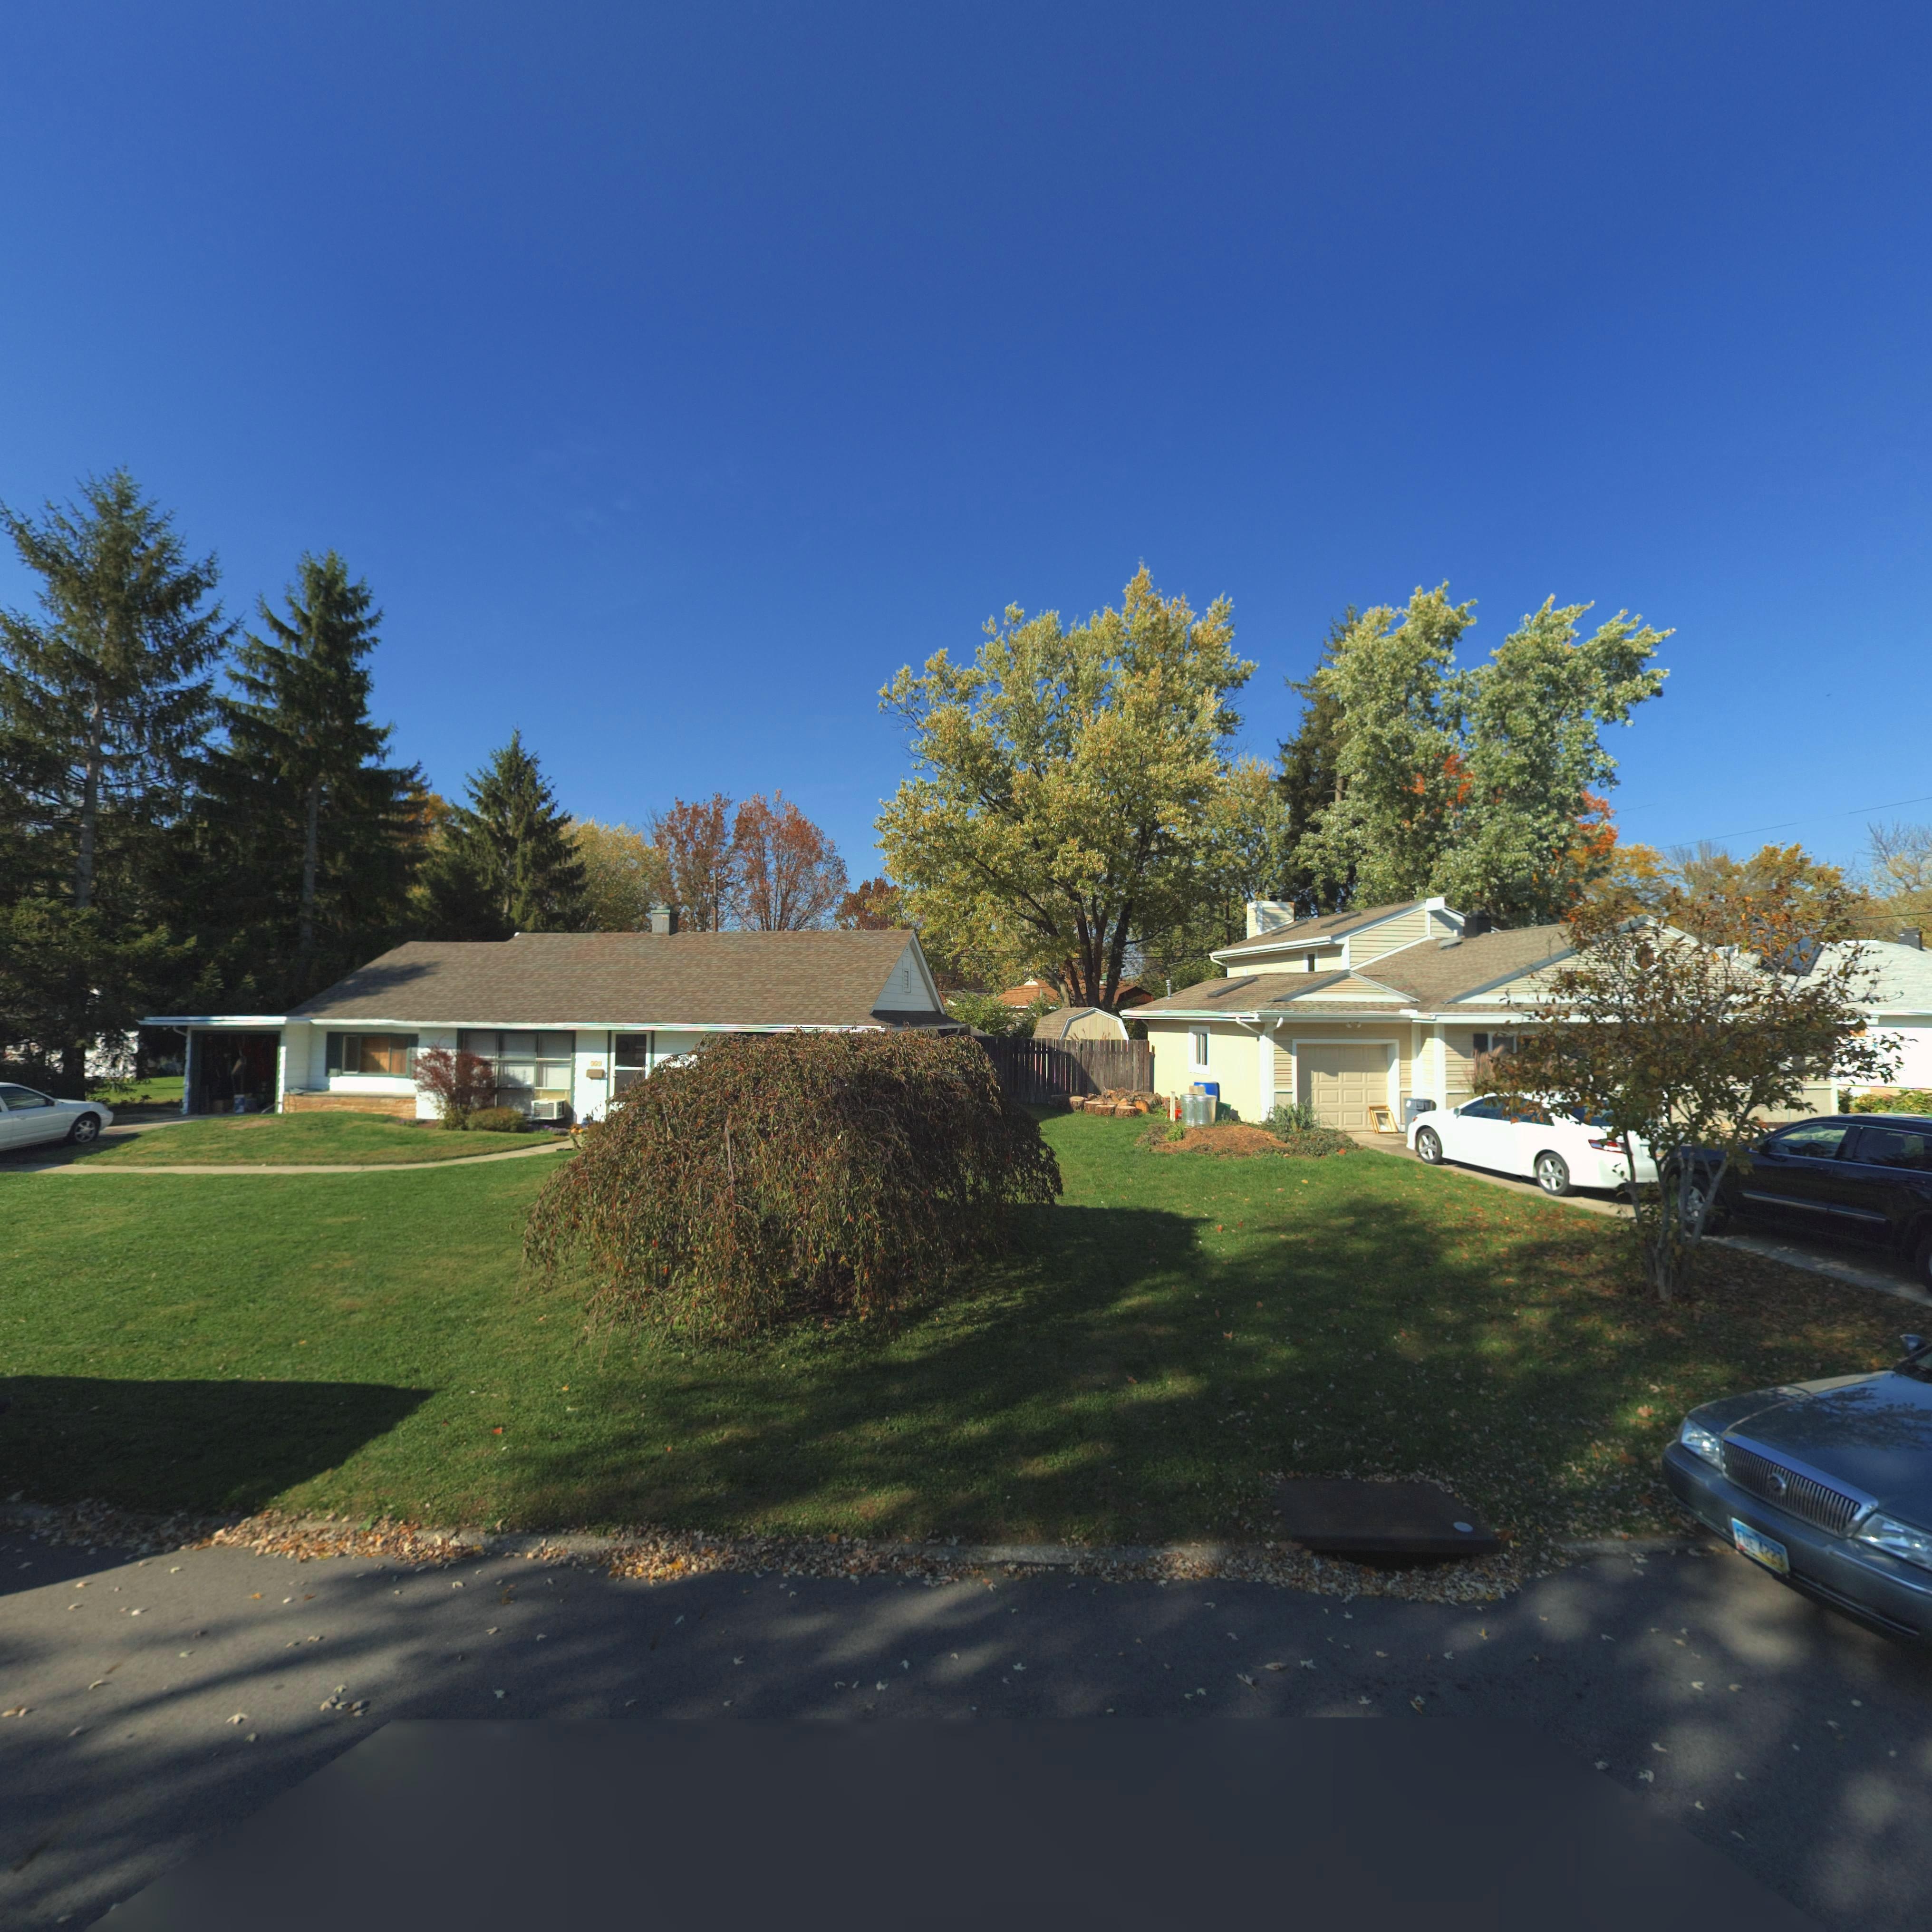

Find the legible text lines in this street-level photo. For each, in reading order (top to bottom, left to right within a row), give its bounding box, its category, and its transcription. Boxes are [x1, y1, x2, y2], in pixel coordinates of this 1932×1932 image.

[1735, 1526, 1785, 1568] None: FUE 4223